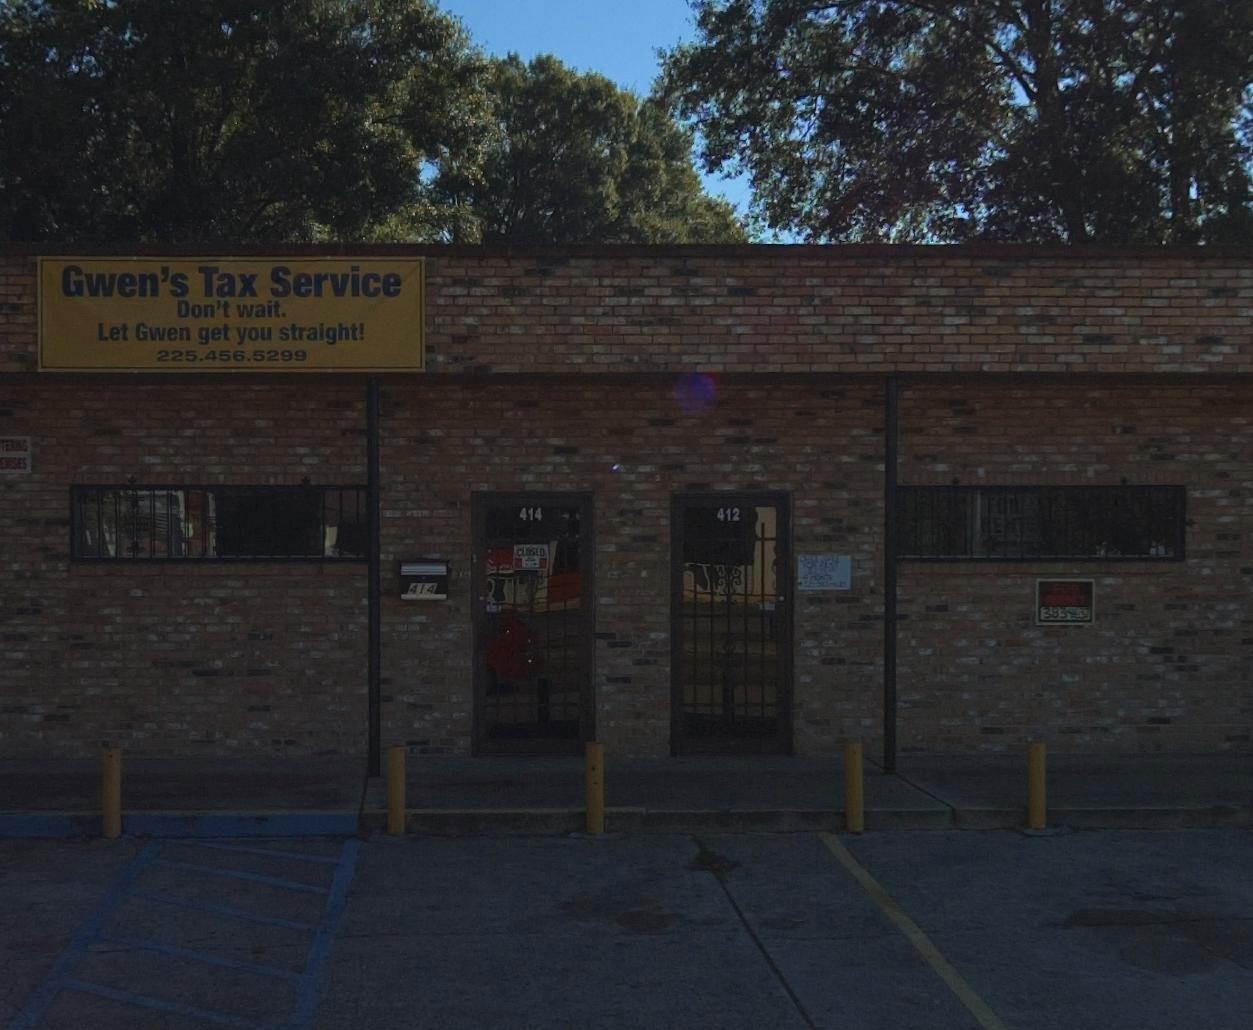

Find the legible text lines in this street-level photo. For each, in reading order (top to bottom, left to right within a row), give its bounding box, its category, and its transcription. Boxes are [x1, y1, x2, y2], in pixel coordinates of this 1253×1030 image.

[58, 261, 405, 301] BusinessName: Gwen's Tax Service
[175, 297, 289, 321] None: Don't wait.
[95, 319, 367, 348] None: Let Gwen get you straight!
[154, 346, 311, 365] None: 225.456.5299
[517, 505, 544, 523] StreetNumber: 414
[715, 506, 742, 523] StreetNumber: 412
[515, 545, 548, 559] None: closed
[404, 582, 441, 596] StreetNumber: 414
[1051, 581, 1082, 596] None: FOR
[1041, 605, 1070, 621] None: 383